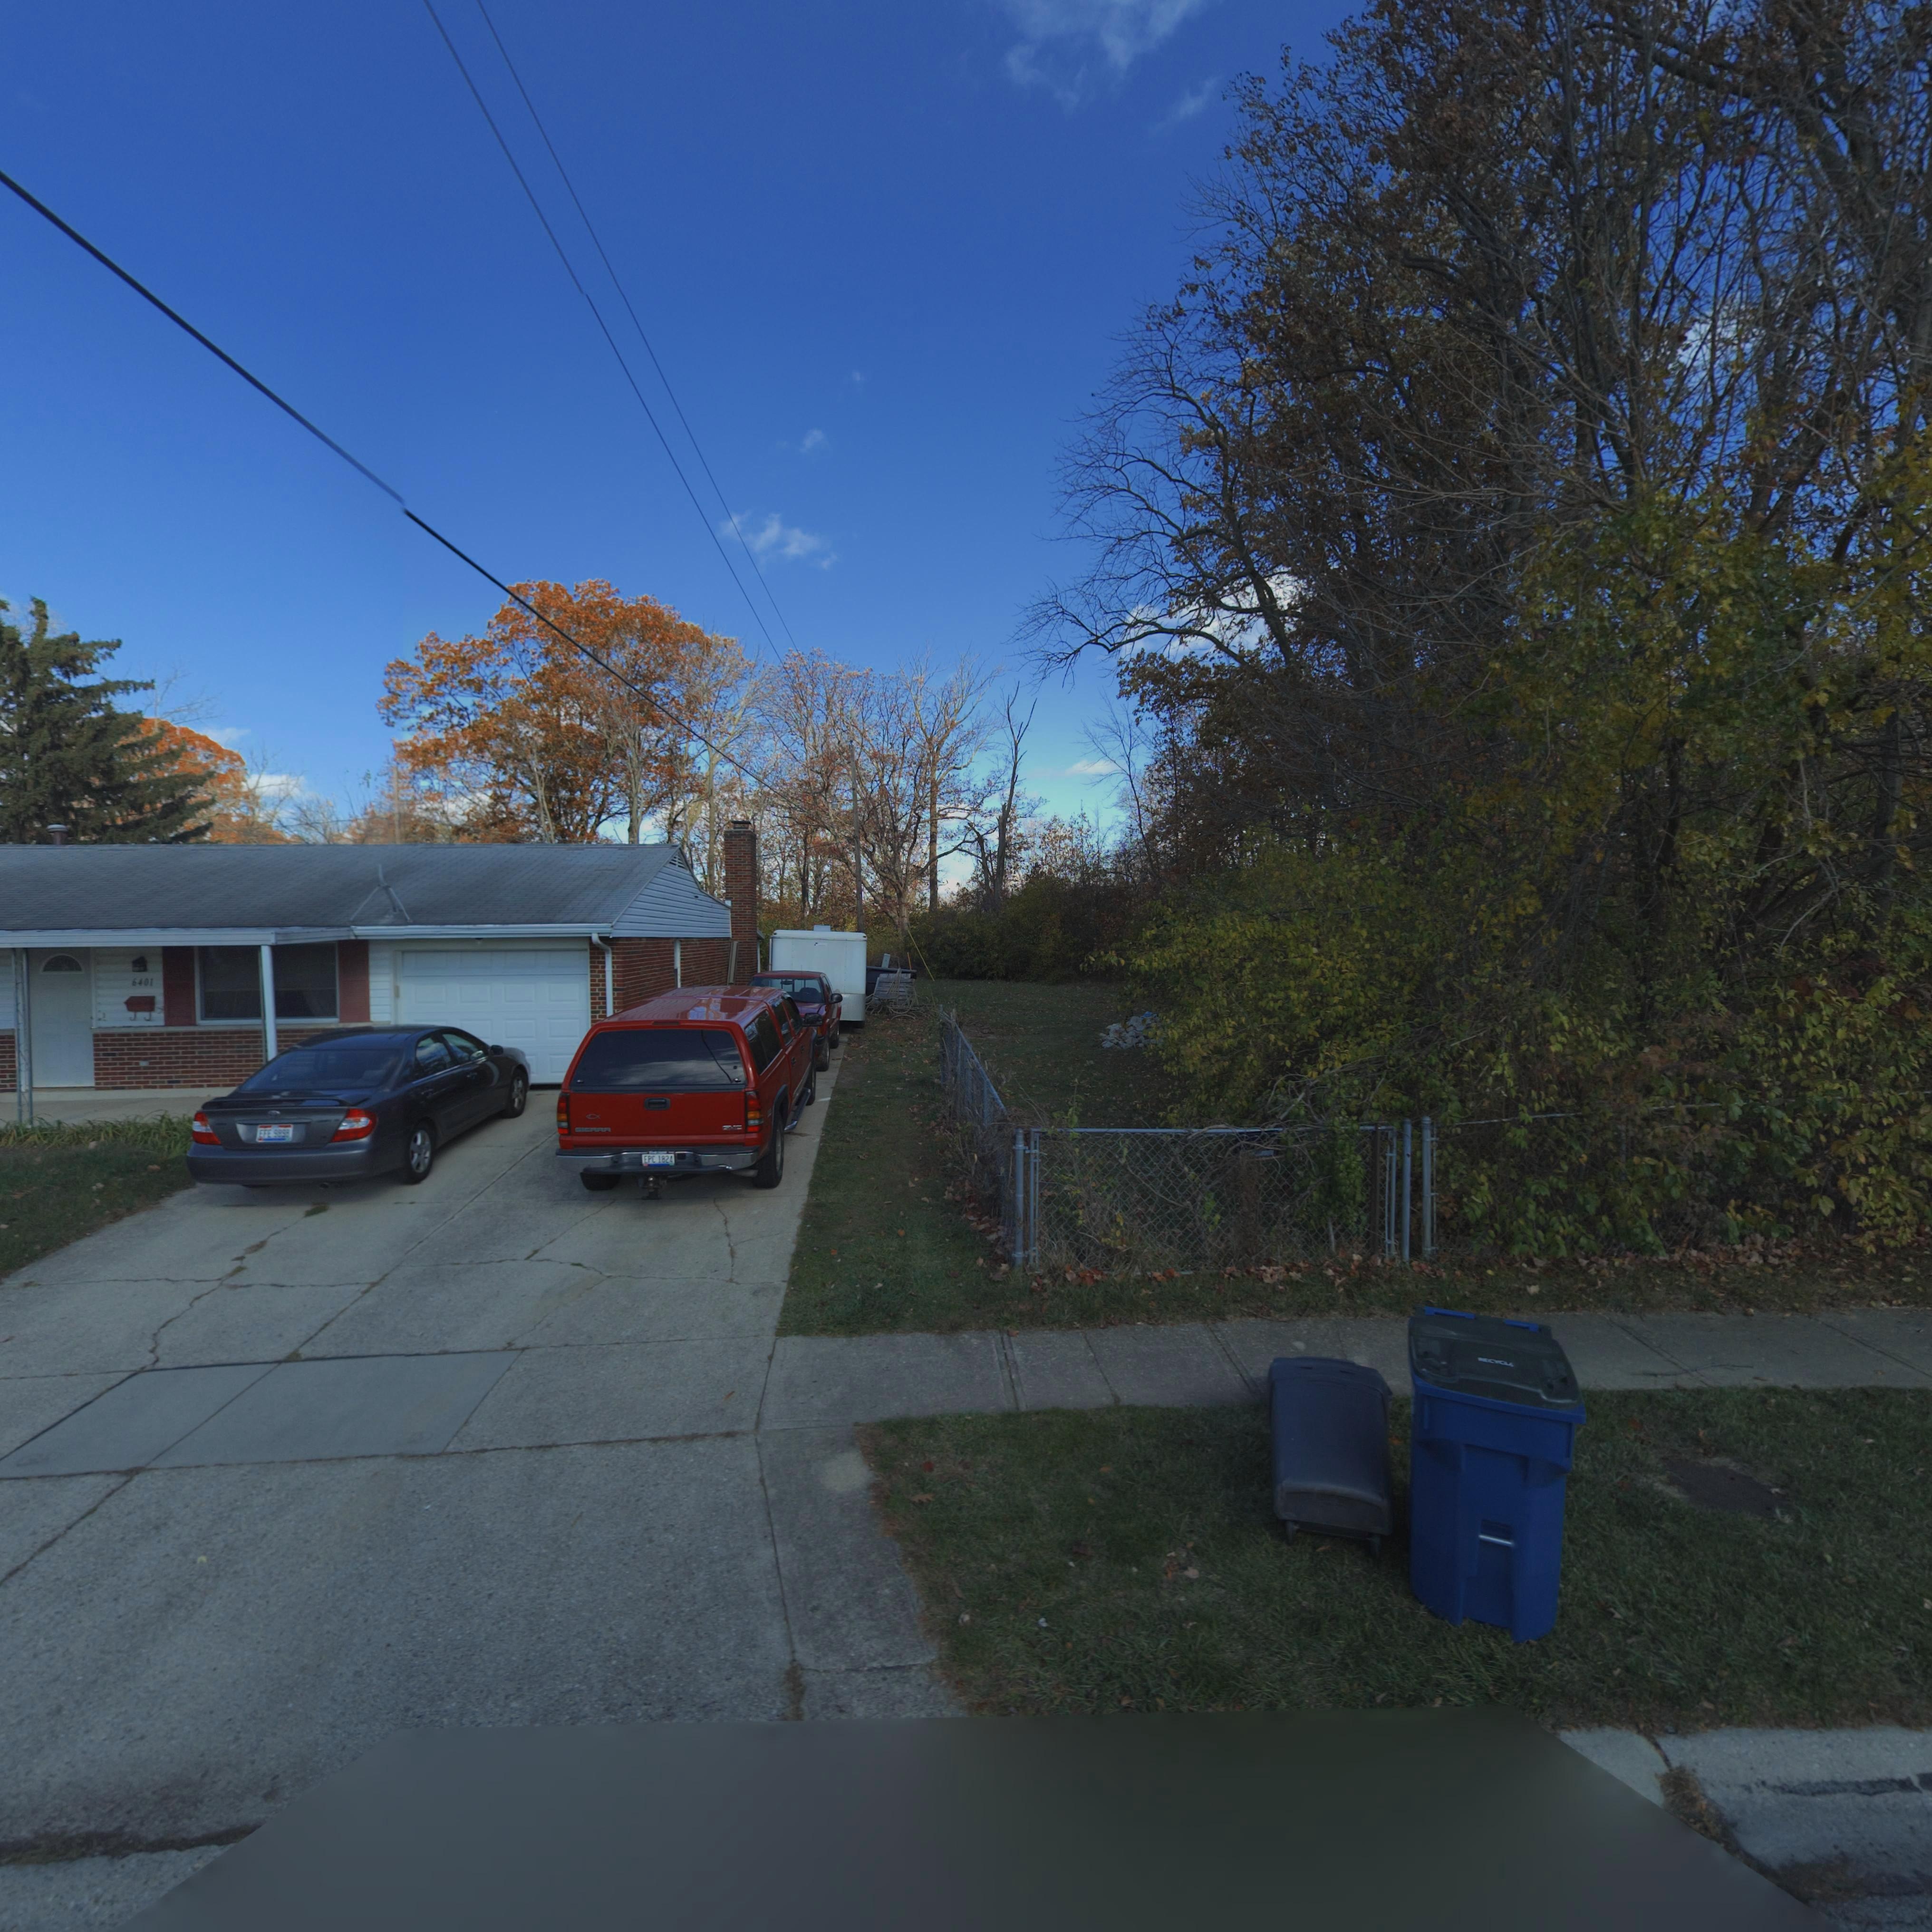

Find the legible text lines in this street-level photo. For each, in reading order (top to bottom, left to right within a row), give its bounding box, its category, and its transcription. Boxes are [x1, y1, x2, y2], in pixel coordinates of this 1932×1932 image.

[131, 977, 153, 987] StreetNumber: 6401